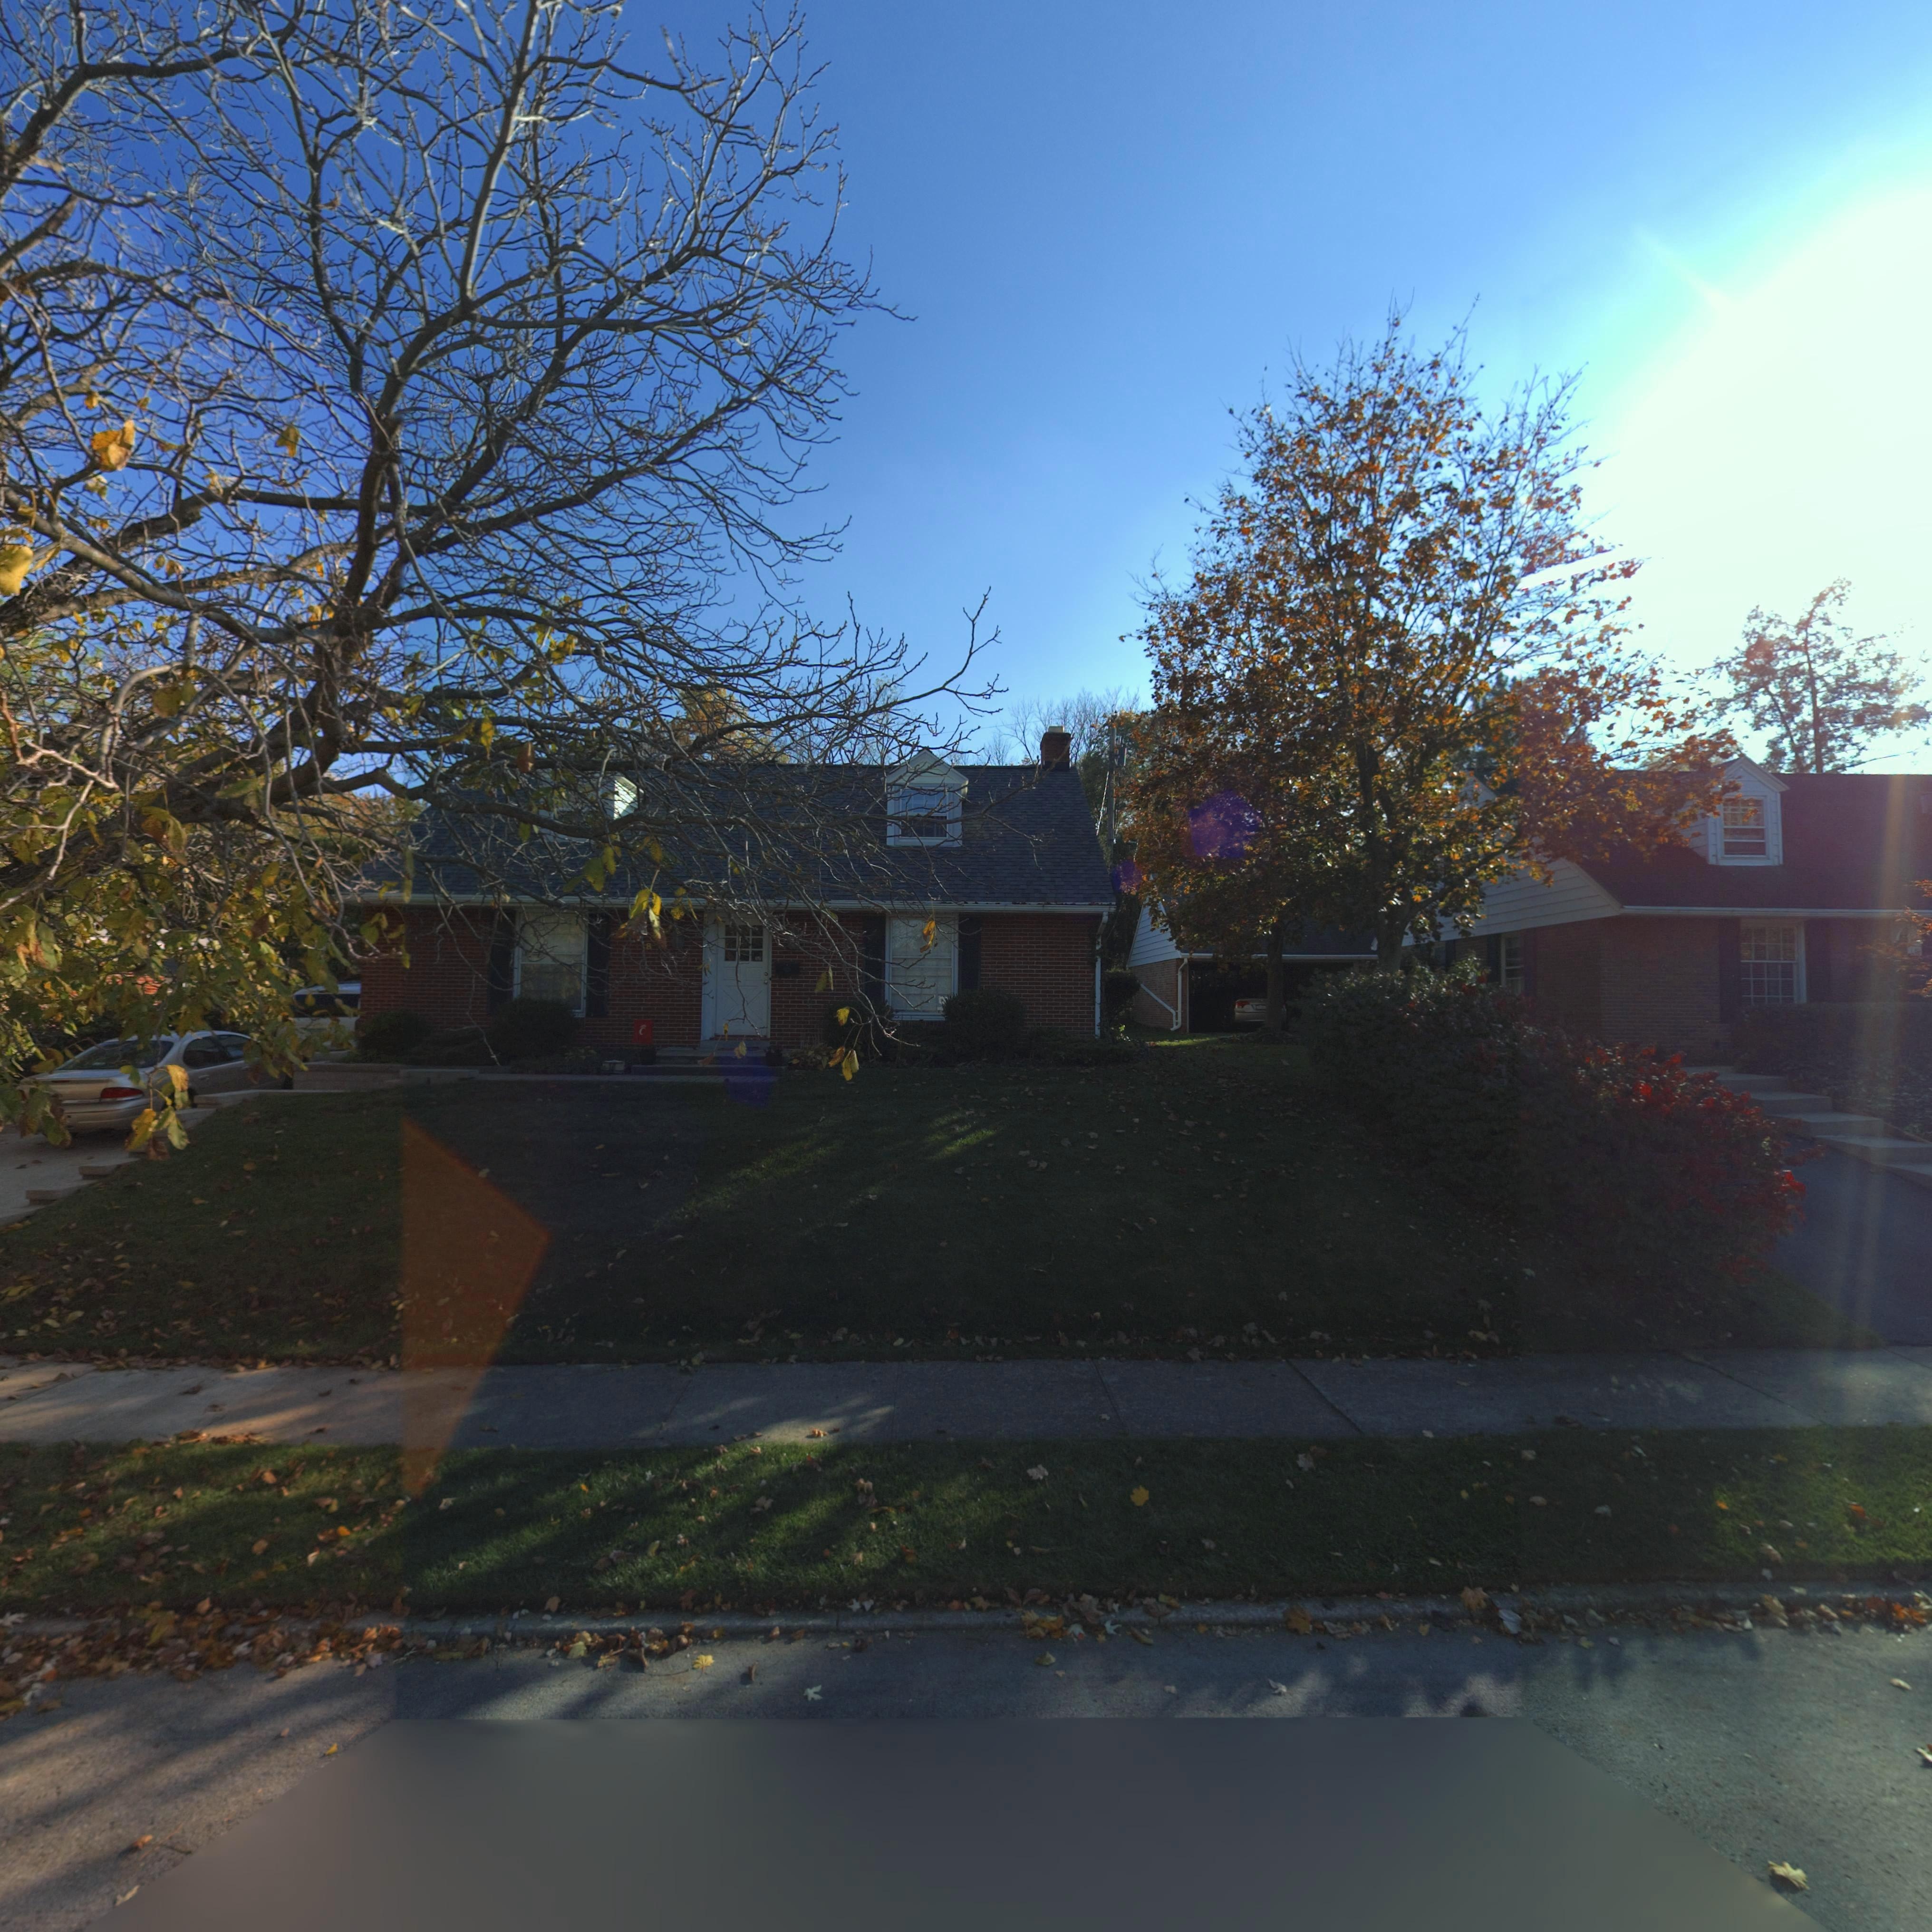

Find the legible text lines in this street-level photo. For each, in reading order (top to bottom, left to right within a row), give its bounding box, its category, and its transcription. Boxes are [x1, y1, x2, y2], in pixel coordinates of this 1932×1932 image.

[646, 943, 652, 950] StreetNumber: 8